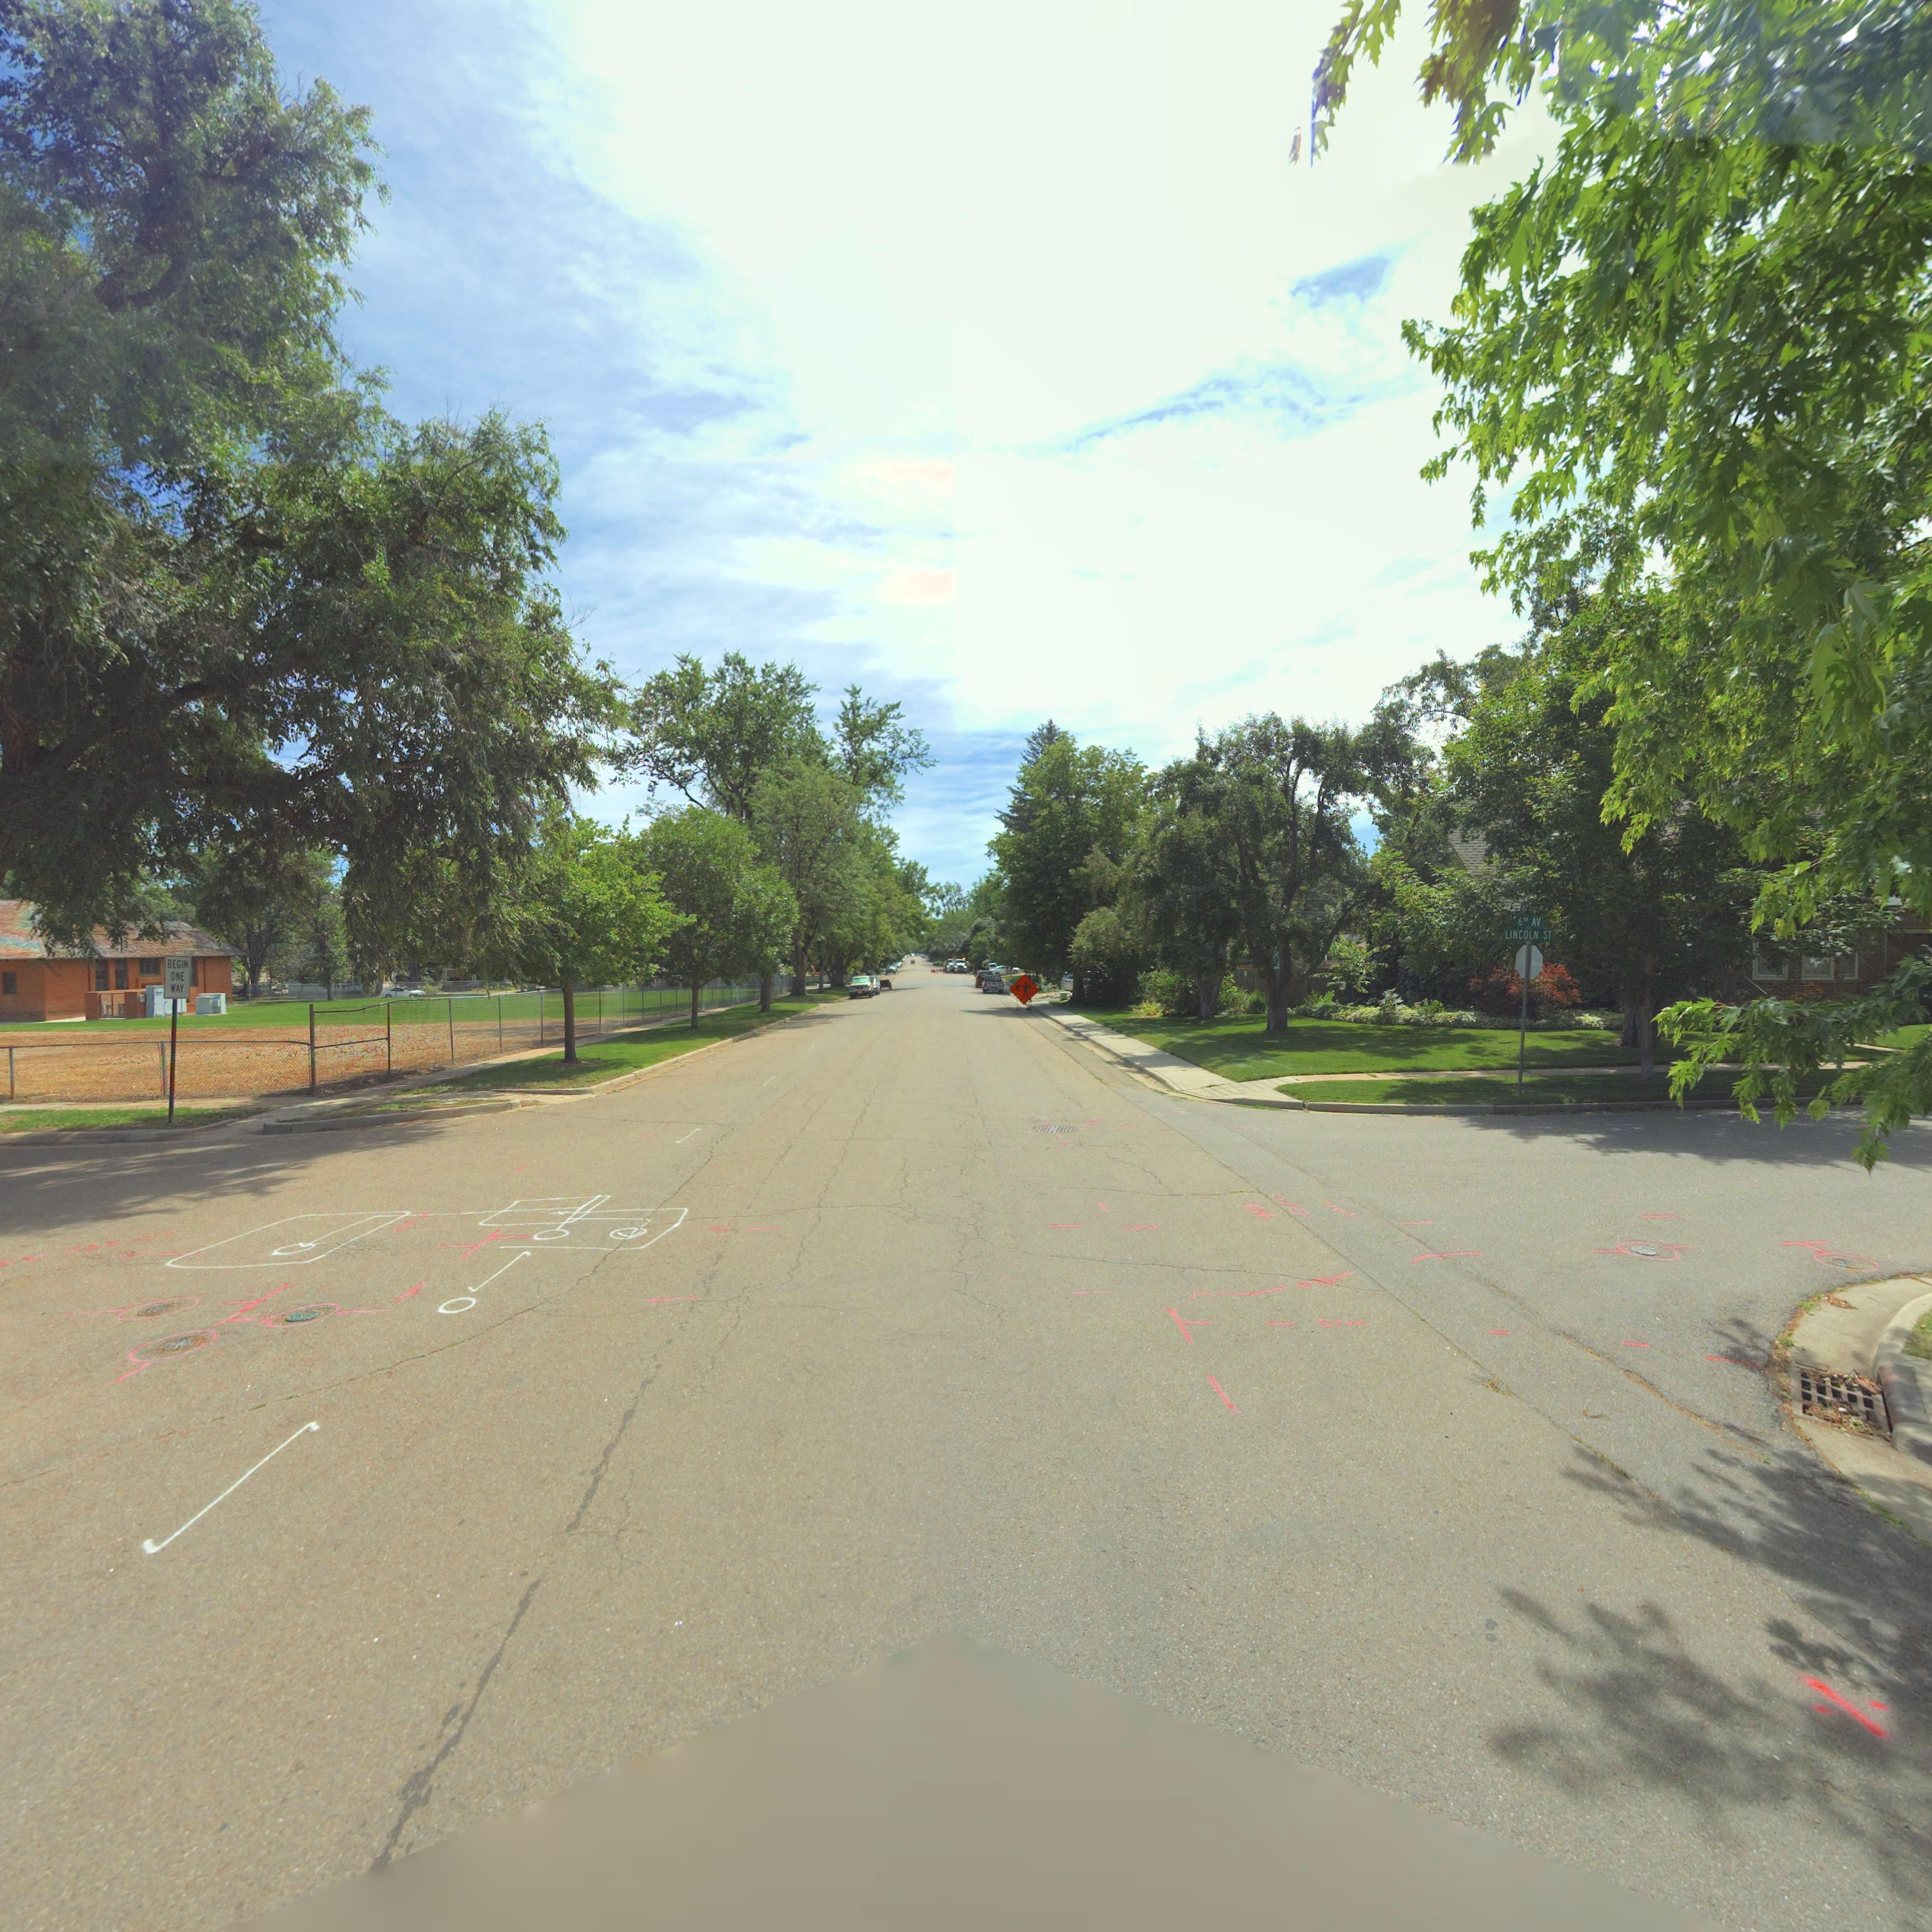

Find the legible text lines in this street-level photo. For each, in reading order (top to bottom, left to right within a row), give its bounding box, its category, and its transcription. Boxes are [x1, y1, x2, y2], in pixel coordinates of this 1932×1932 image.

[1517, 917, 1541, 926] StreetName: 6TH AV
[1505, 930, 1552, 939] StreetName: LINCOLN ST